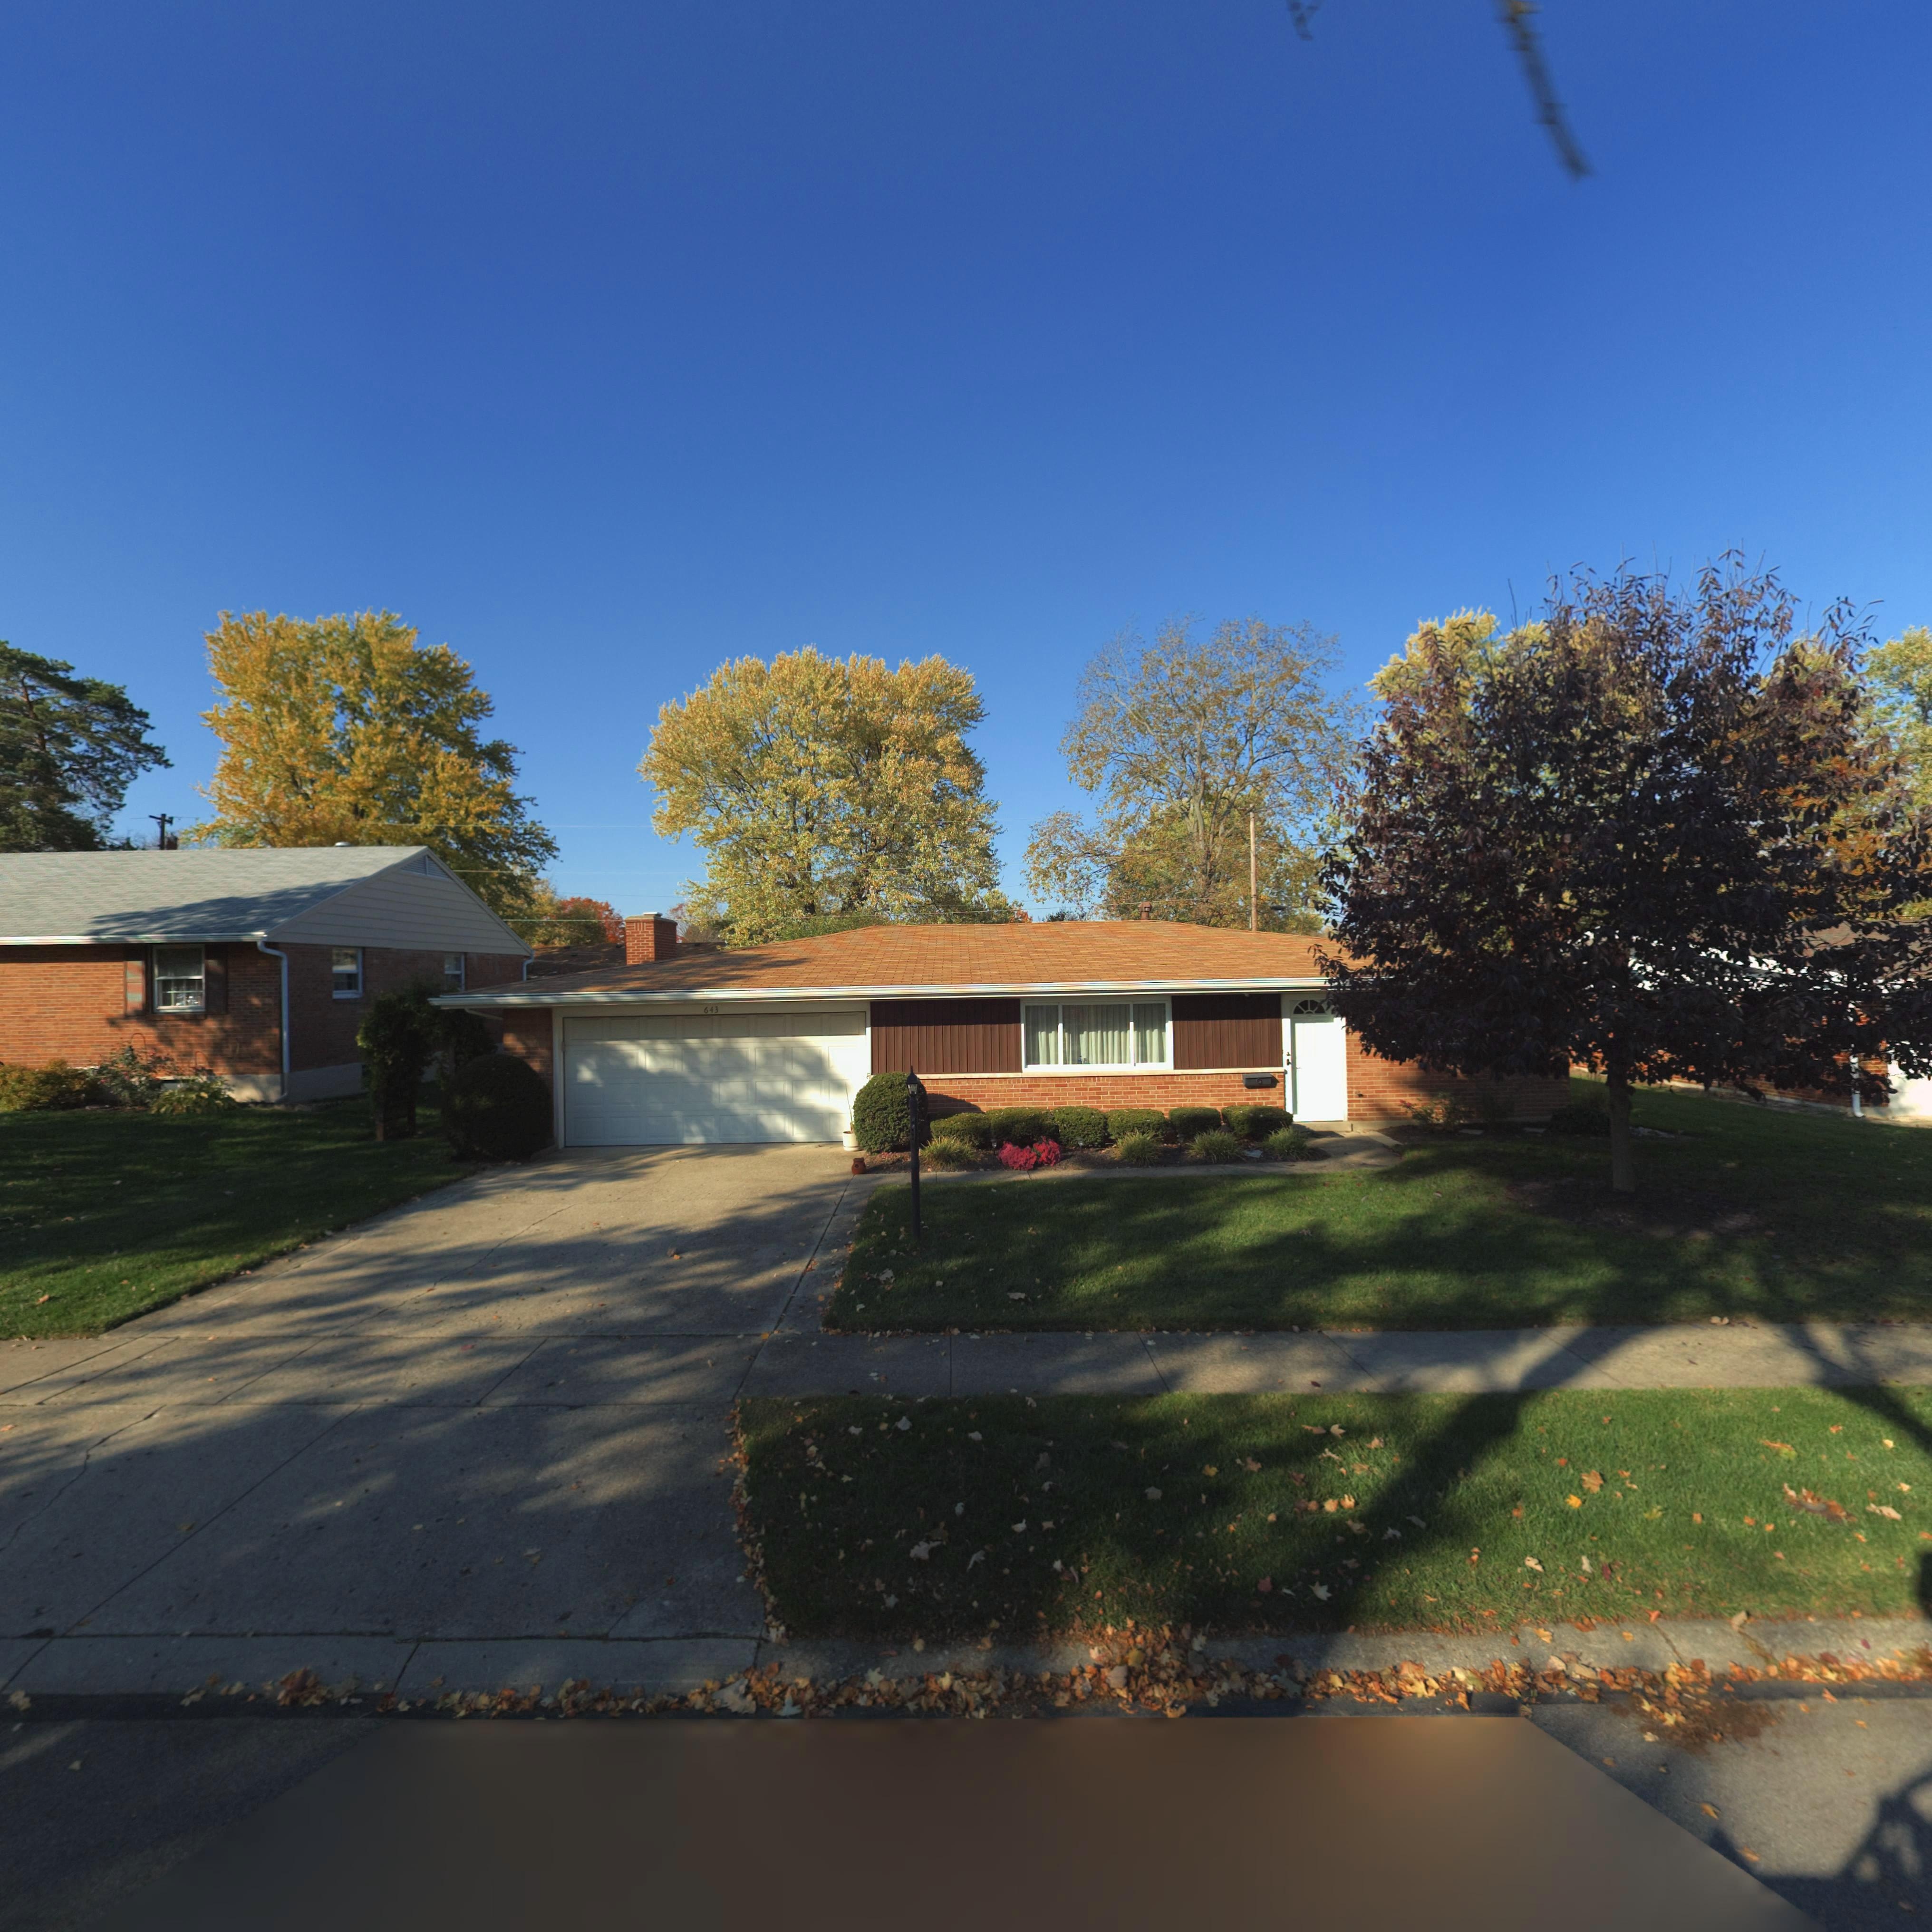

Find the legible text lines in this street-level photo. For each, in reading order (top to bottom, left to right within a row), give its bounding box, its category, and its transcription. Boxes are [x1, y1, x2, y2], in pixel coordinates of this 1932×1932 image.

[703, 1006, 718, 1014] StreetNumber: 643